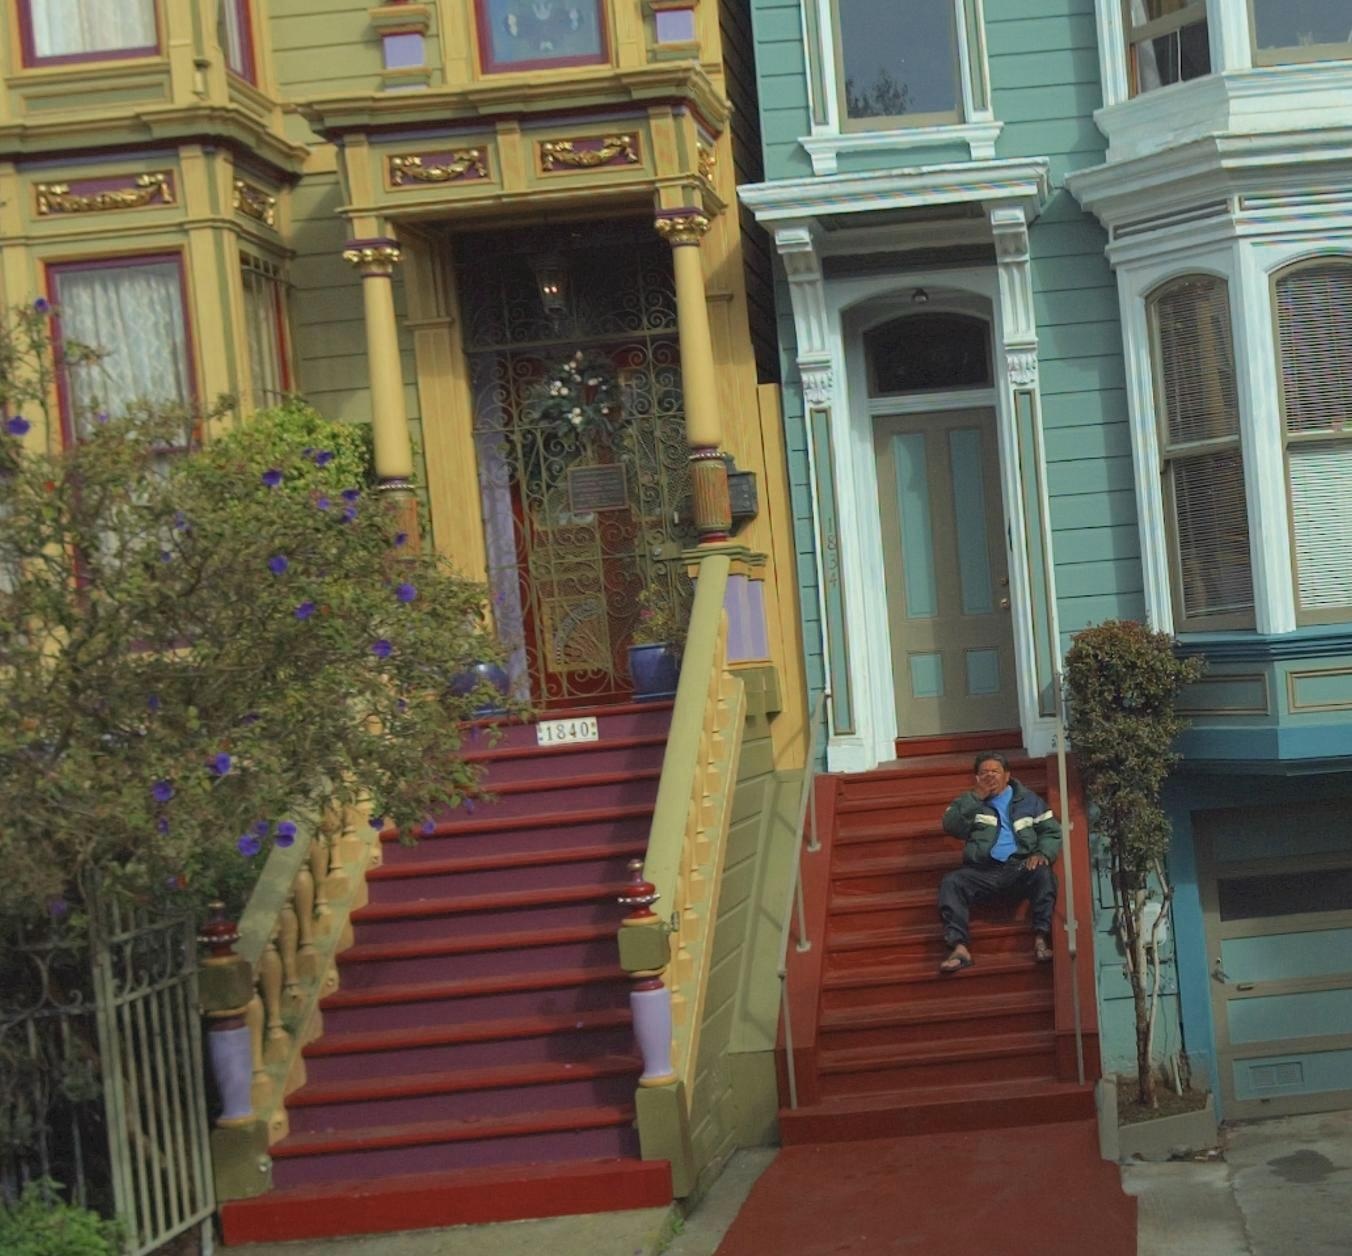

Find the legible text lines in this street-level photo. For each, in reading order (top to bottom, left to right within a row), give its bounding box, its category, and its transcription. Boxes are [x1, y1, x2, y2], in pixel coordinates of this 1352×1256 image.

[825, 516, 839, 590] StreetNumber: 1834
[543, 719, 592, 744] StreetNumber: 1840